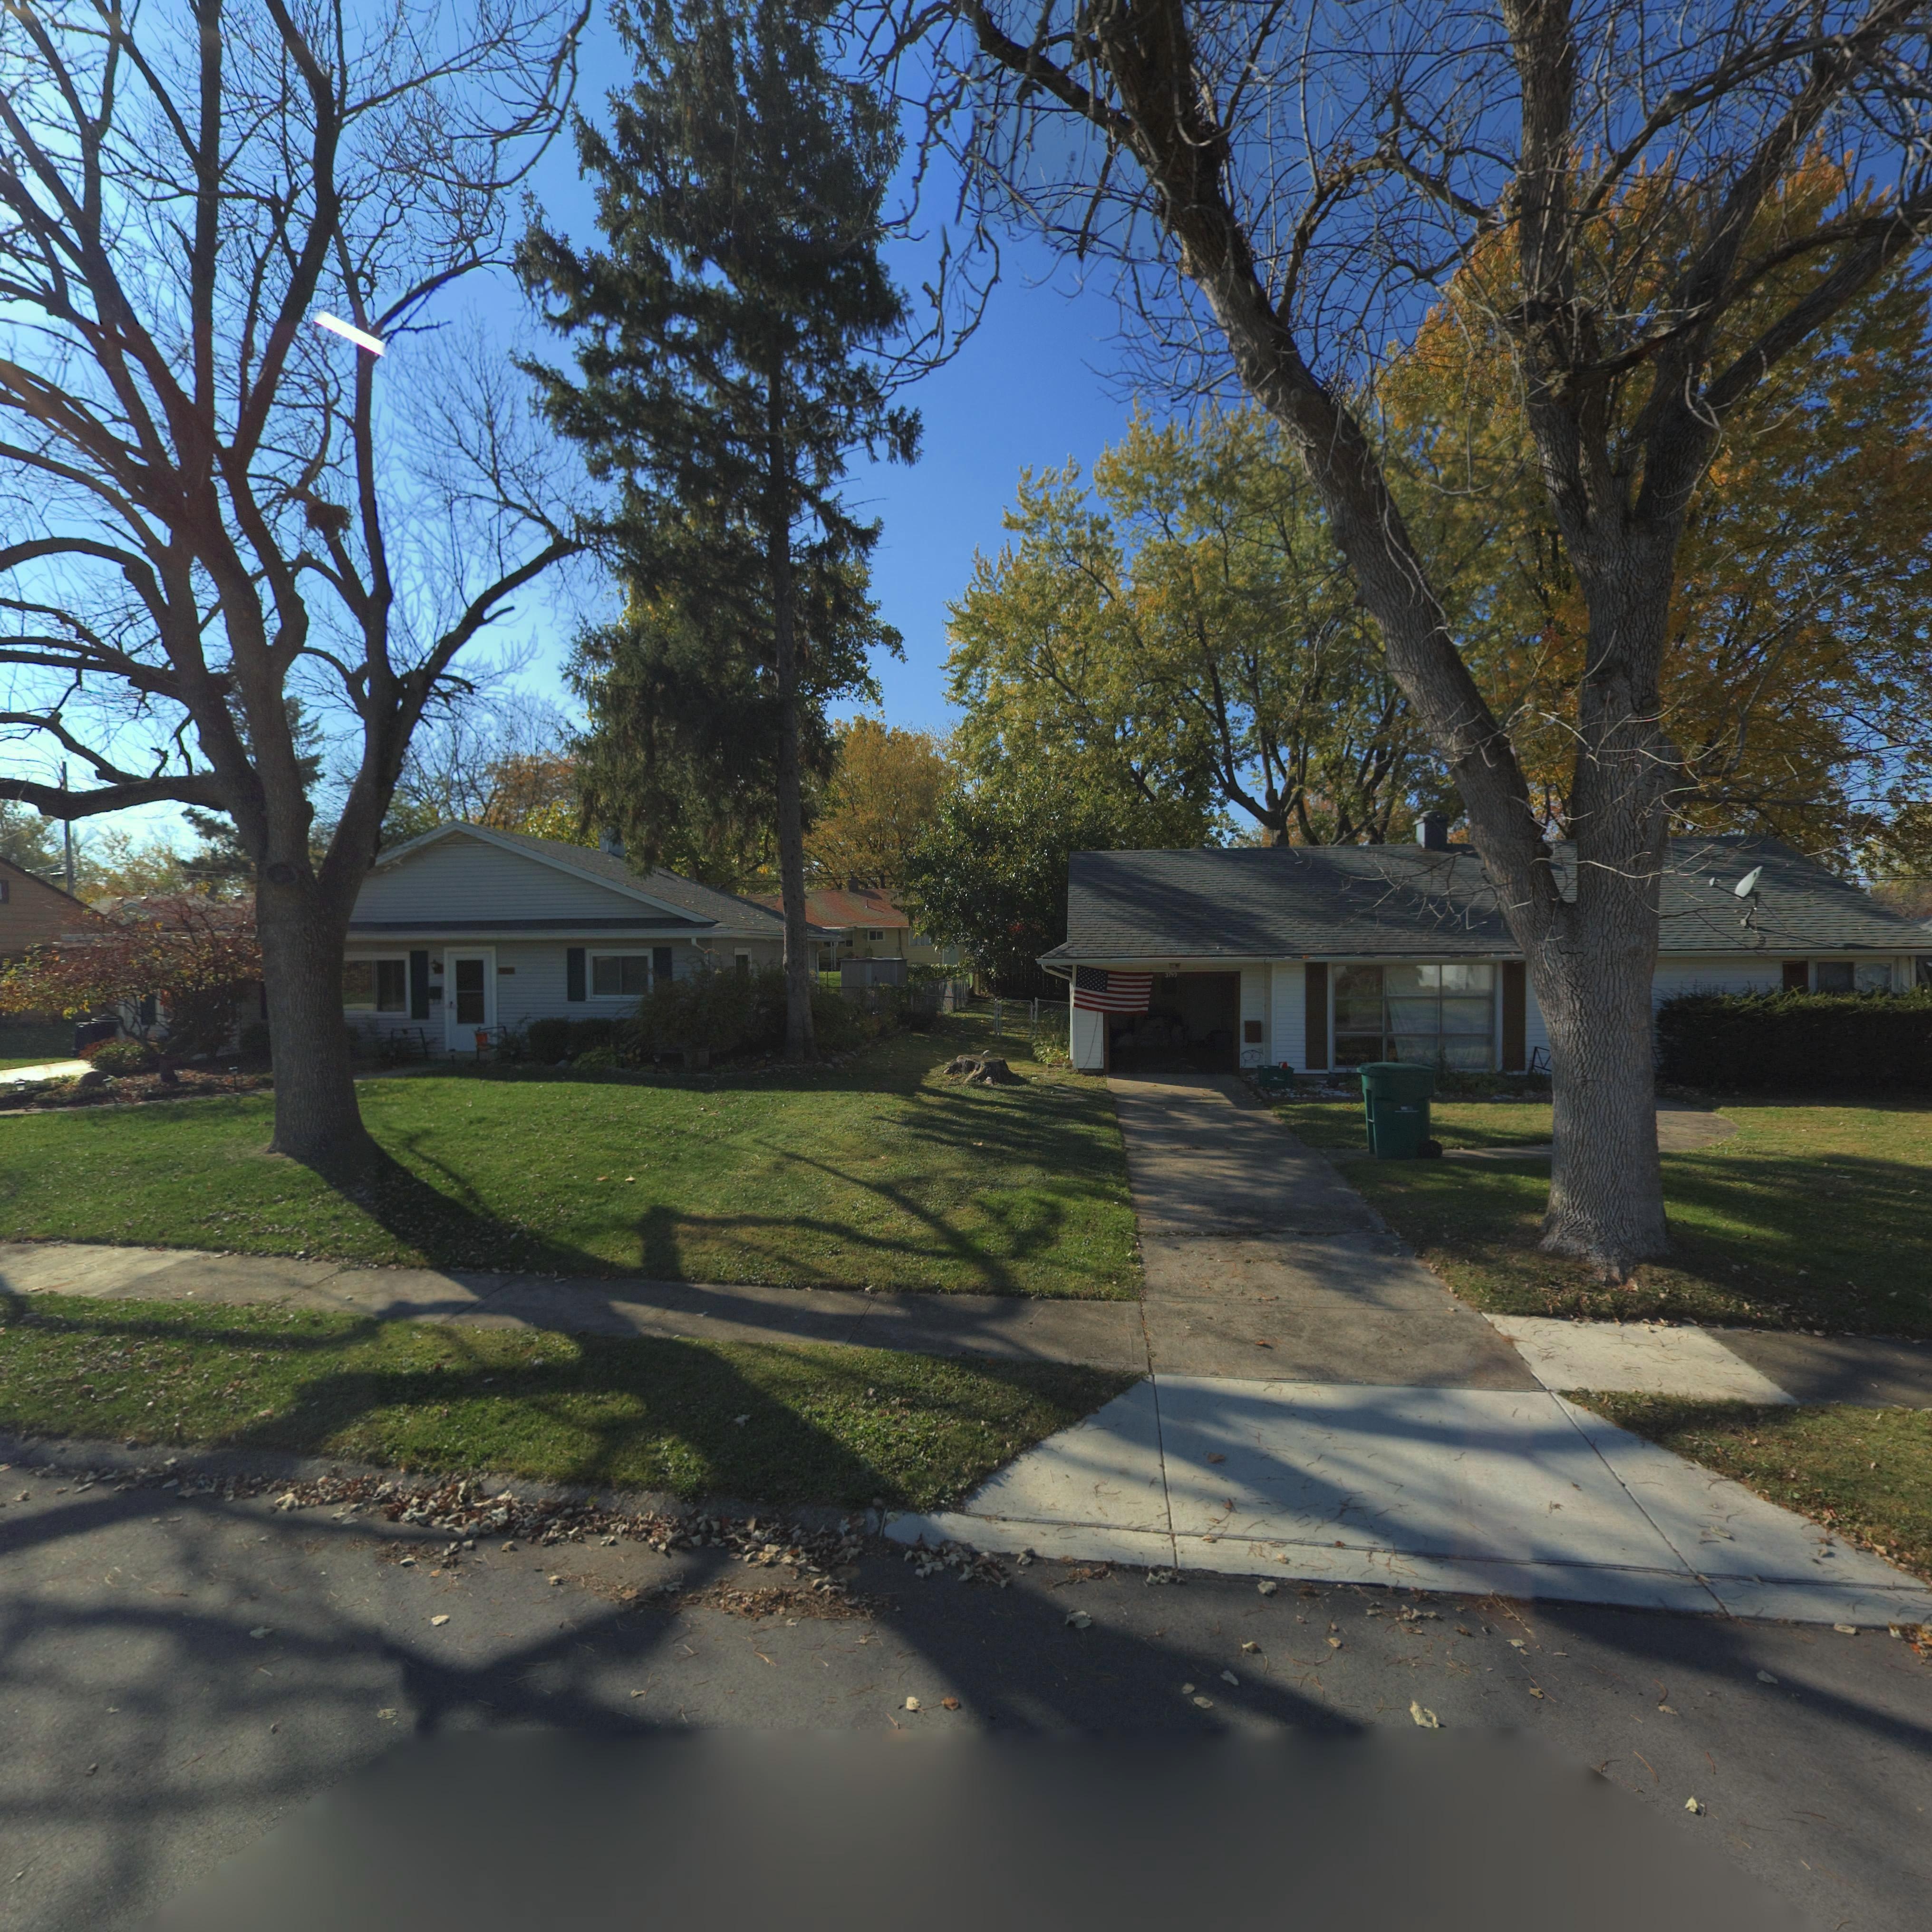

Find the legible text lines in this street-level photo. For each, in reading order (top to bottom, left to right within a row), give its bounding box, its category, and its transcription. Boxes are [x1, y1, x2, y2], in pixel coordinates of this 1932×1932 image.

[1164, 972, 1178, 978] StreetNumber: 3749
[1400, 1106, 1414, 1111] None: WM